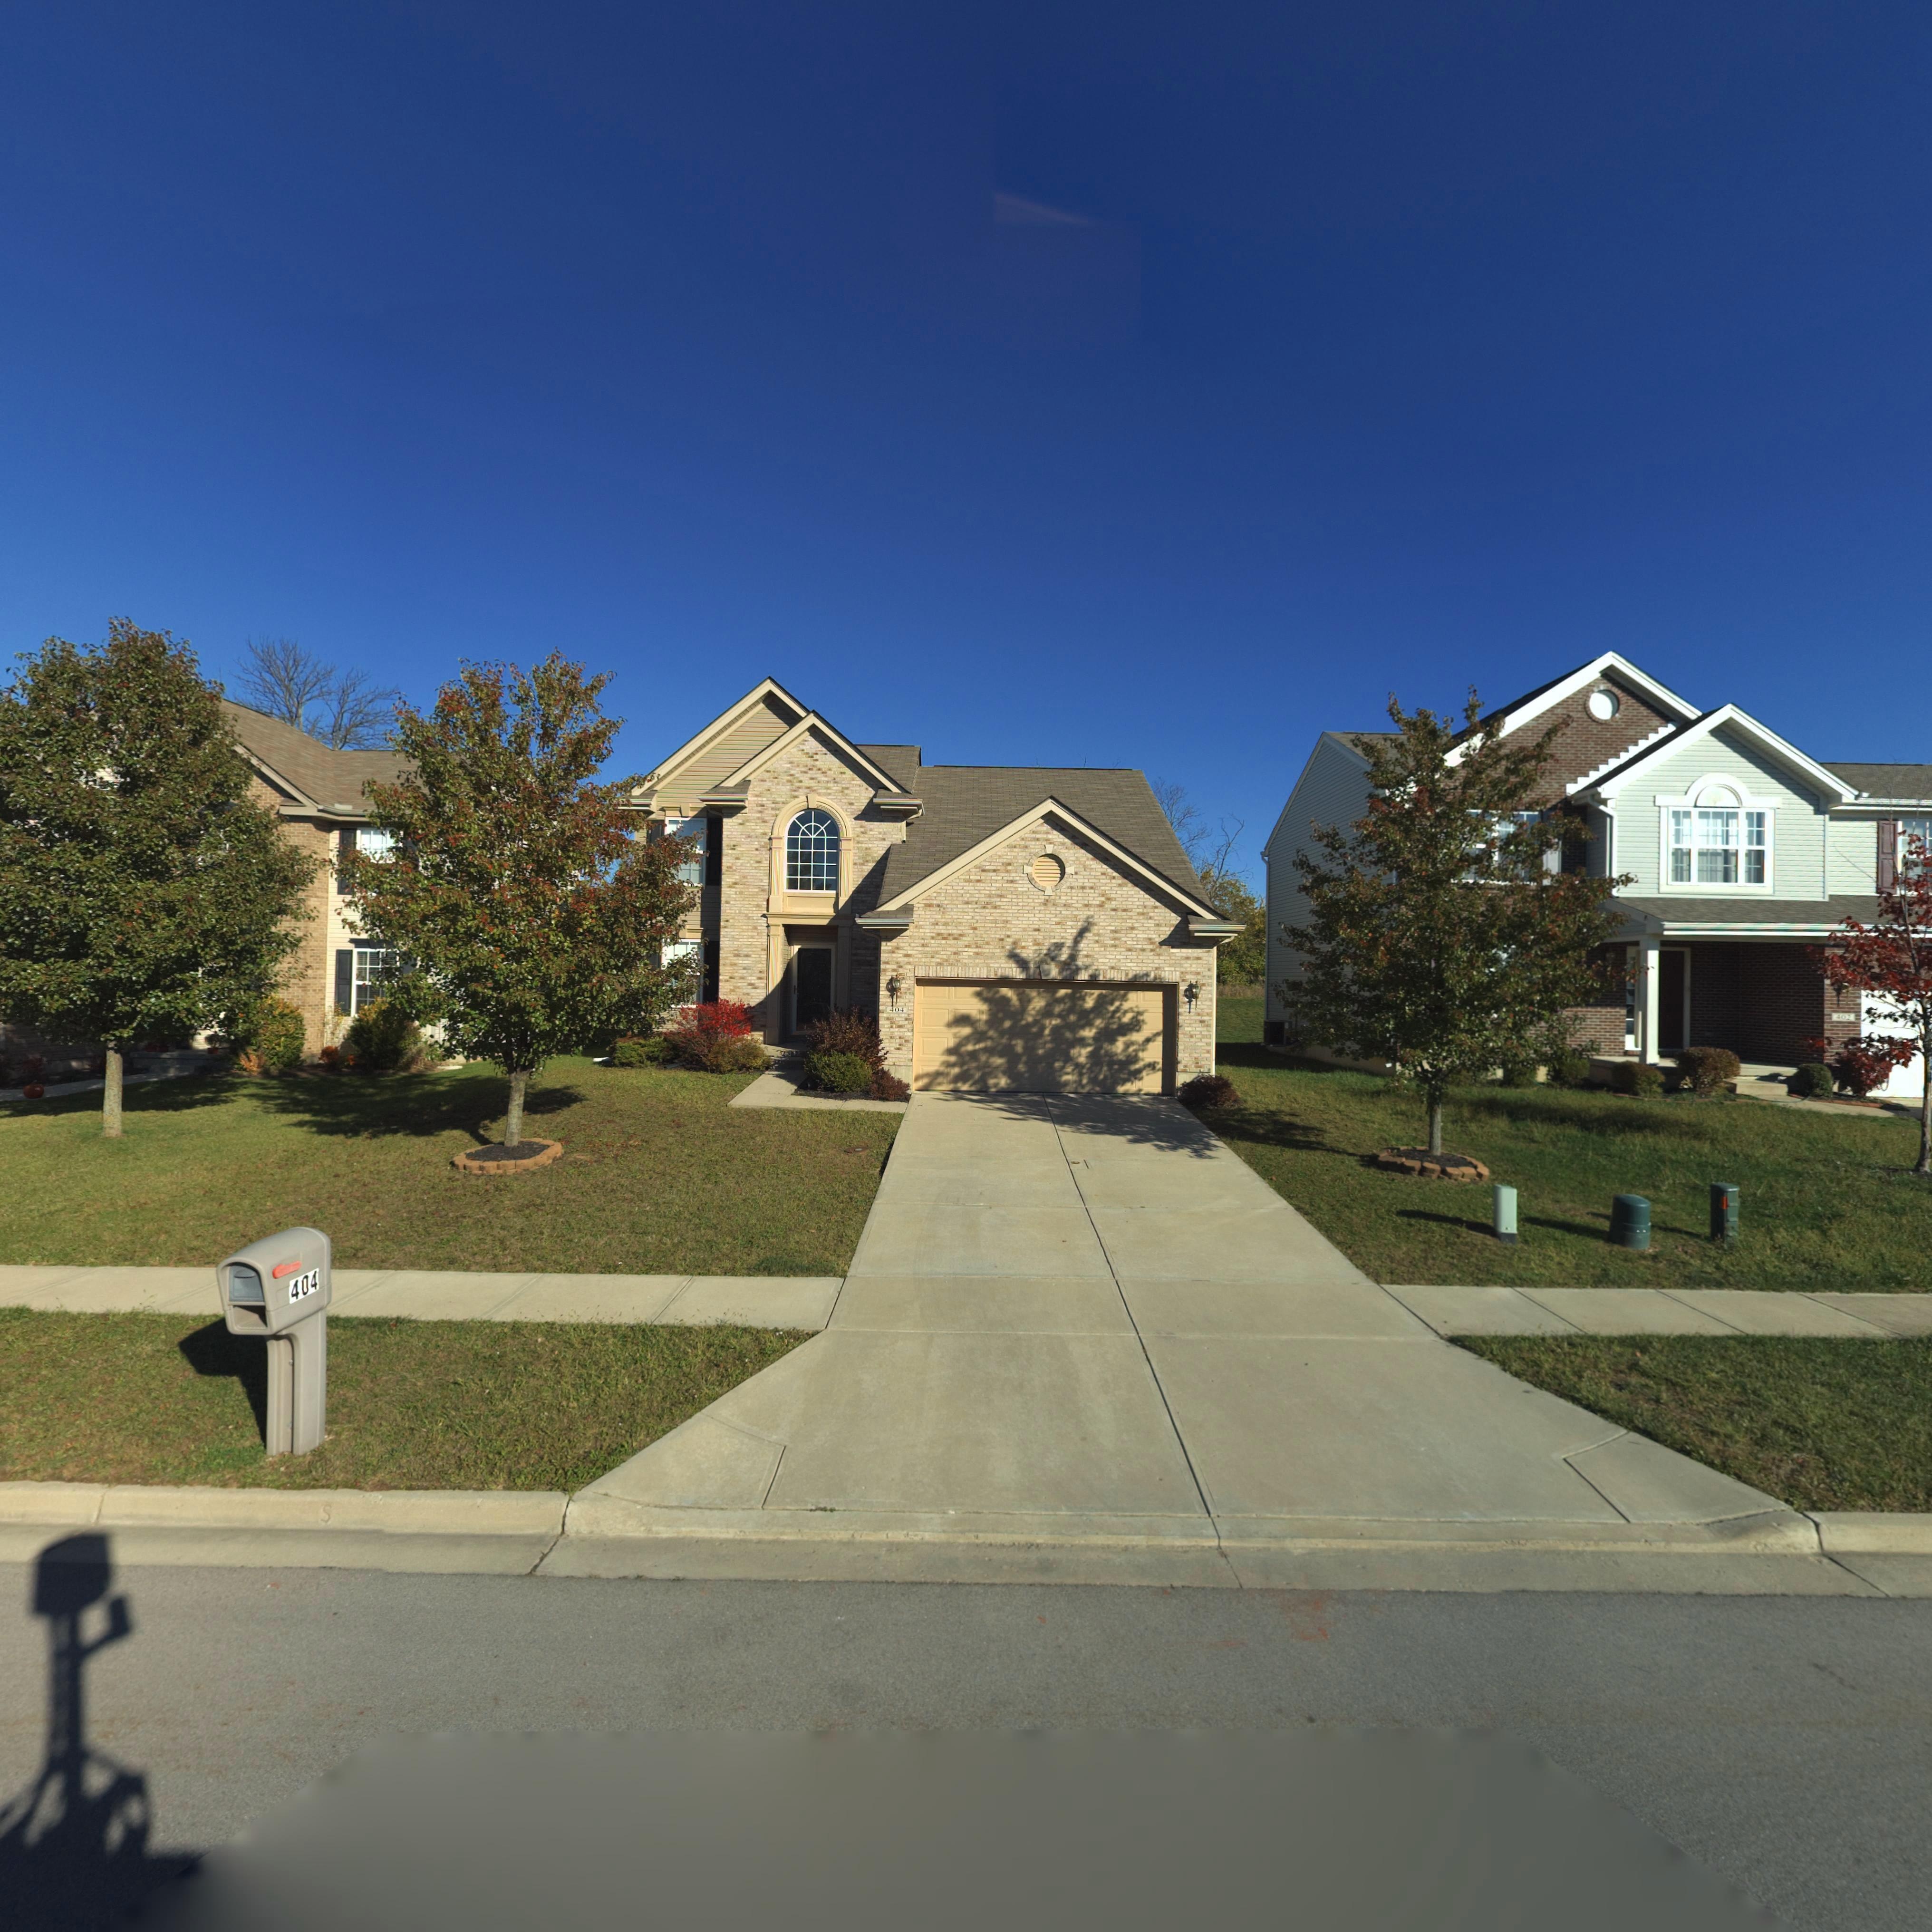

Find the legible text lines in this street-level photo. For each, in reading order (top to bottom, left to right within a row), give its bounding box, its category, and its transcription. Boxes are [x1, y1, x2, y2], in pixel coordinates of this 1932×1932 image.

[888, 1006, 904, 1013] StreetNumber: 404
[1834, 1014, 1851, 1020] StreetNumber: 402
[290, 1269, 318, 1301] StreetNumber: 404